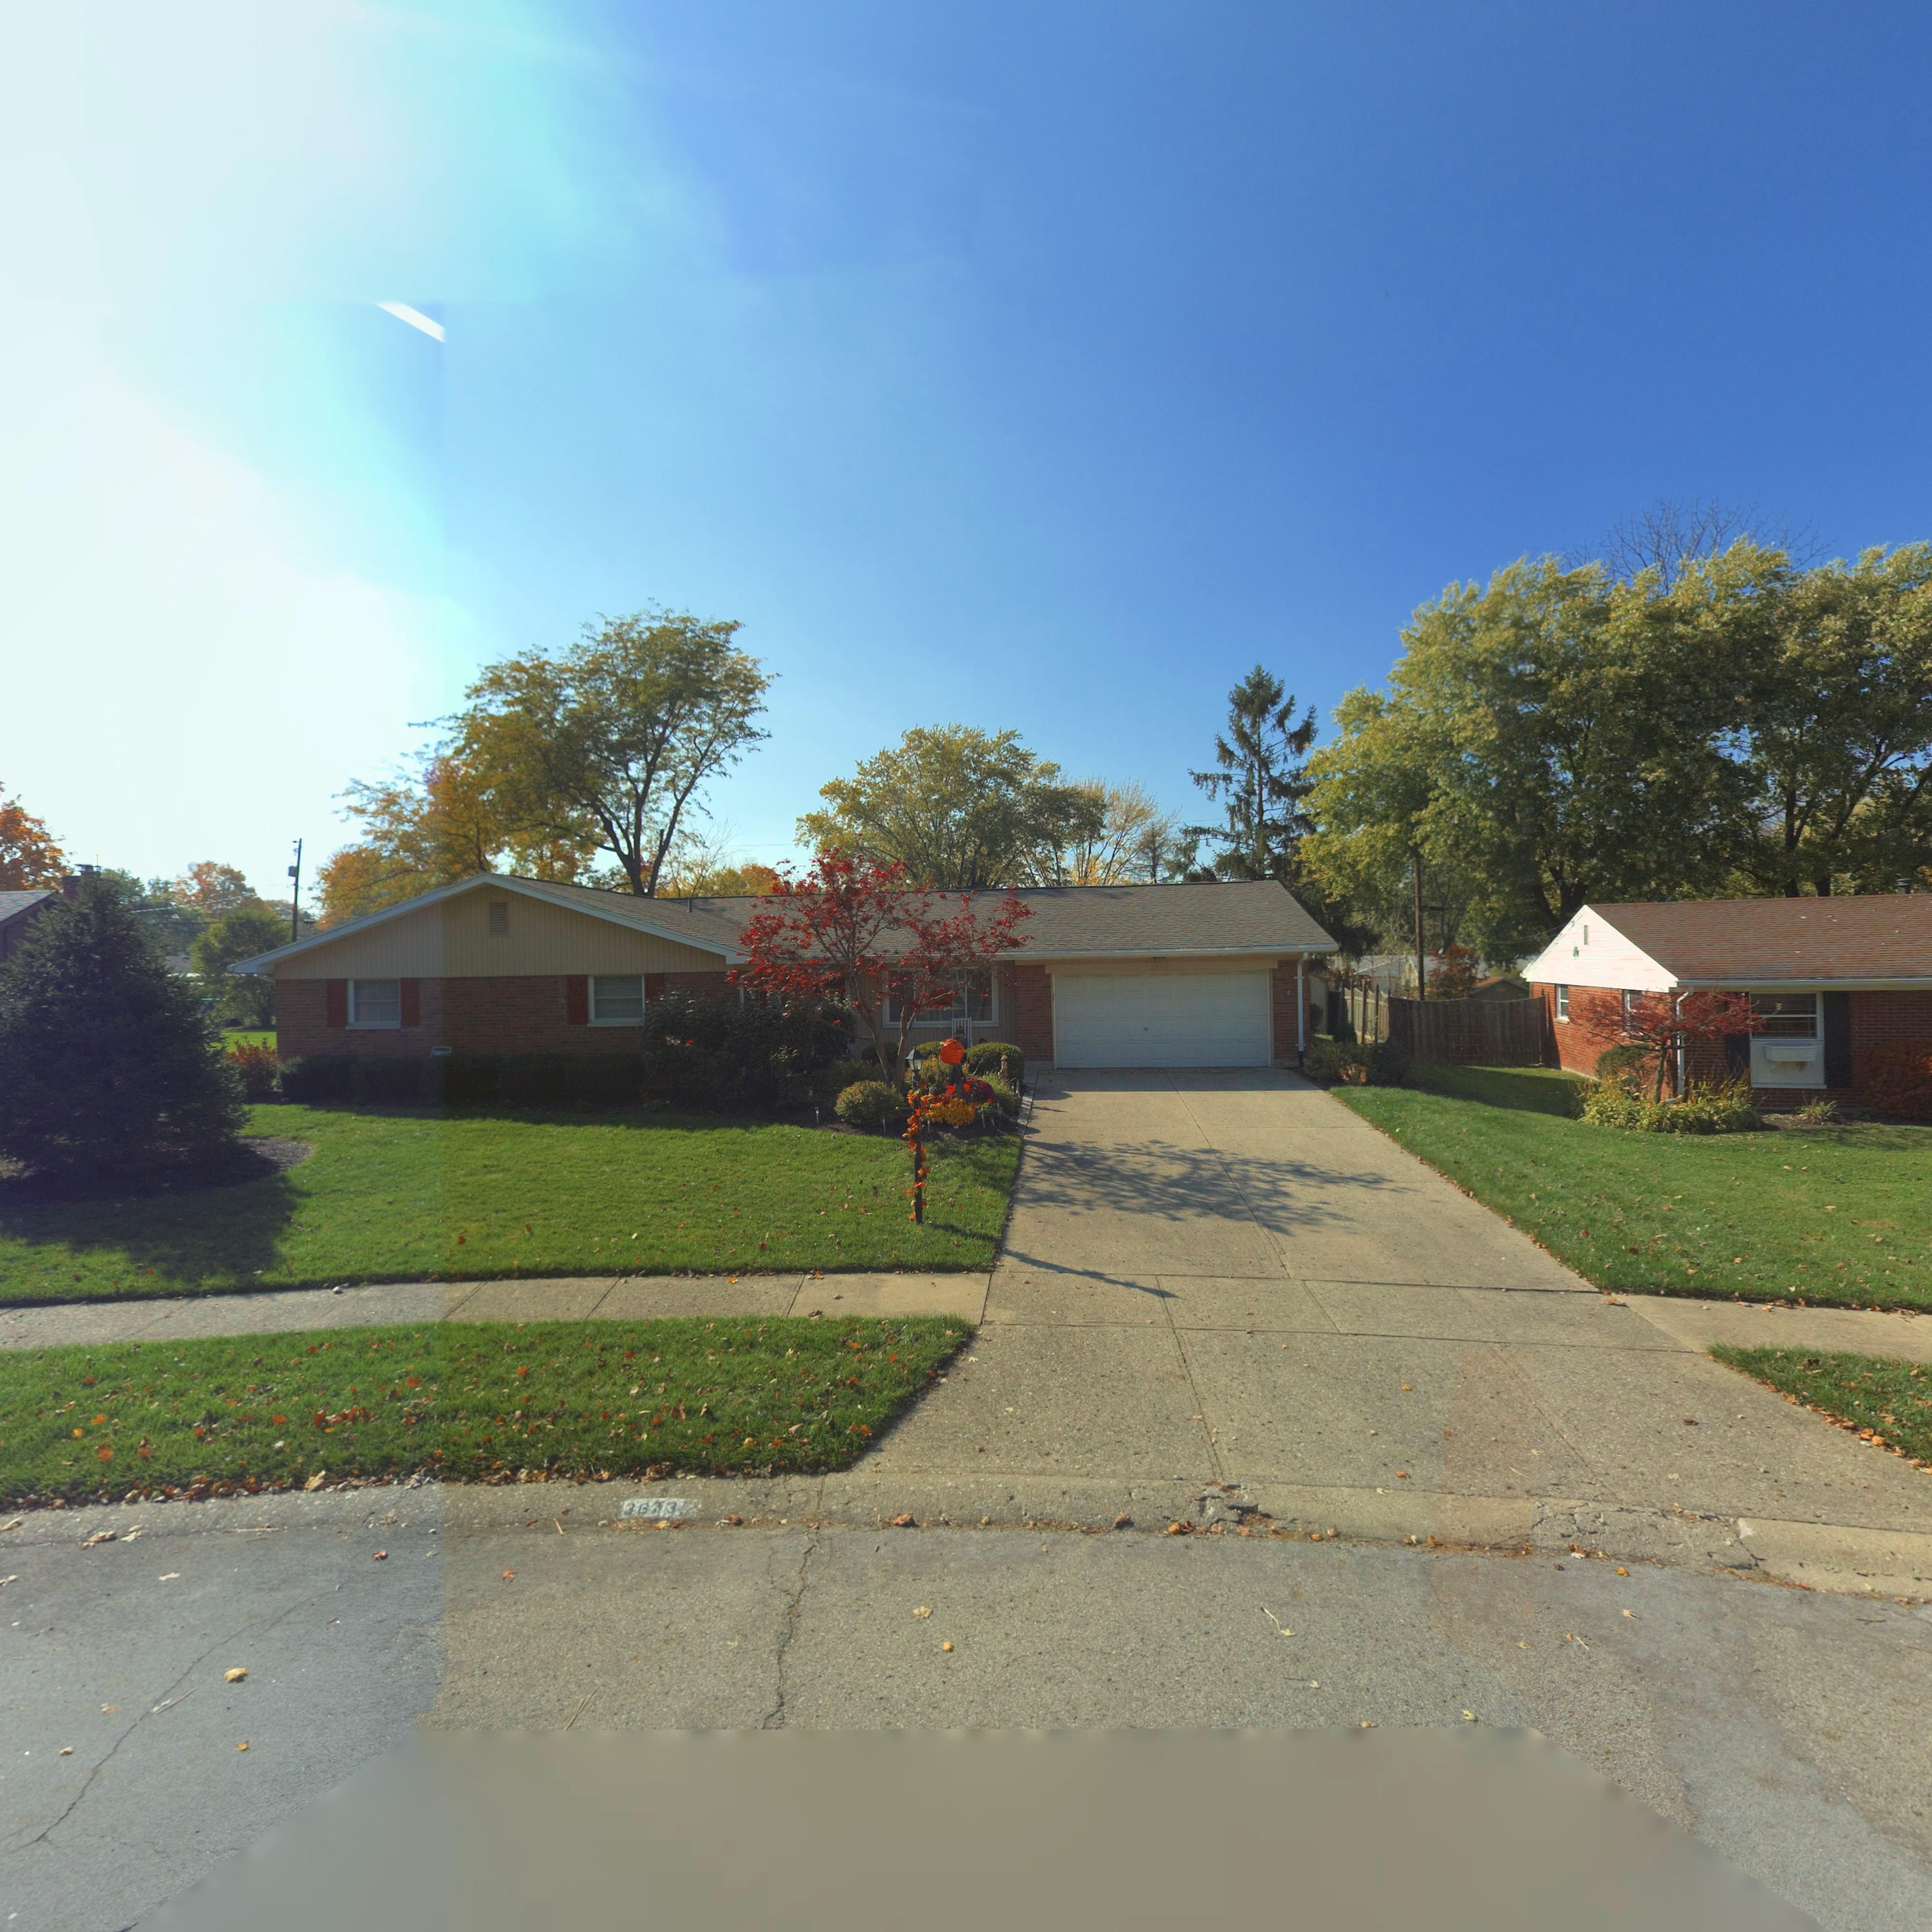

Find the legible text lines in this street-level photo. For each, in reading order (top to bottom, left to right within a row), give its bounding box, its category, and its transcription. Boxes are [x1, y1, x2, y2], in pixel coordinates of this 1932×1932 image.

[1150, 963, 1169, 970] StreetNumber: 36*3
[622, 1500, 679, 1516] StreetNumber: 3673